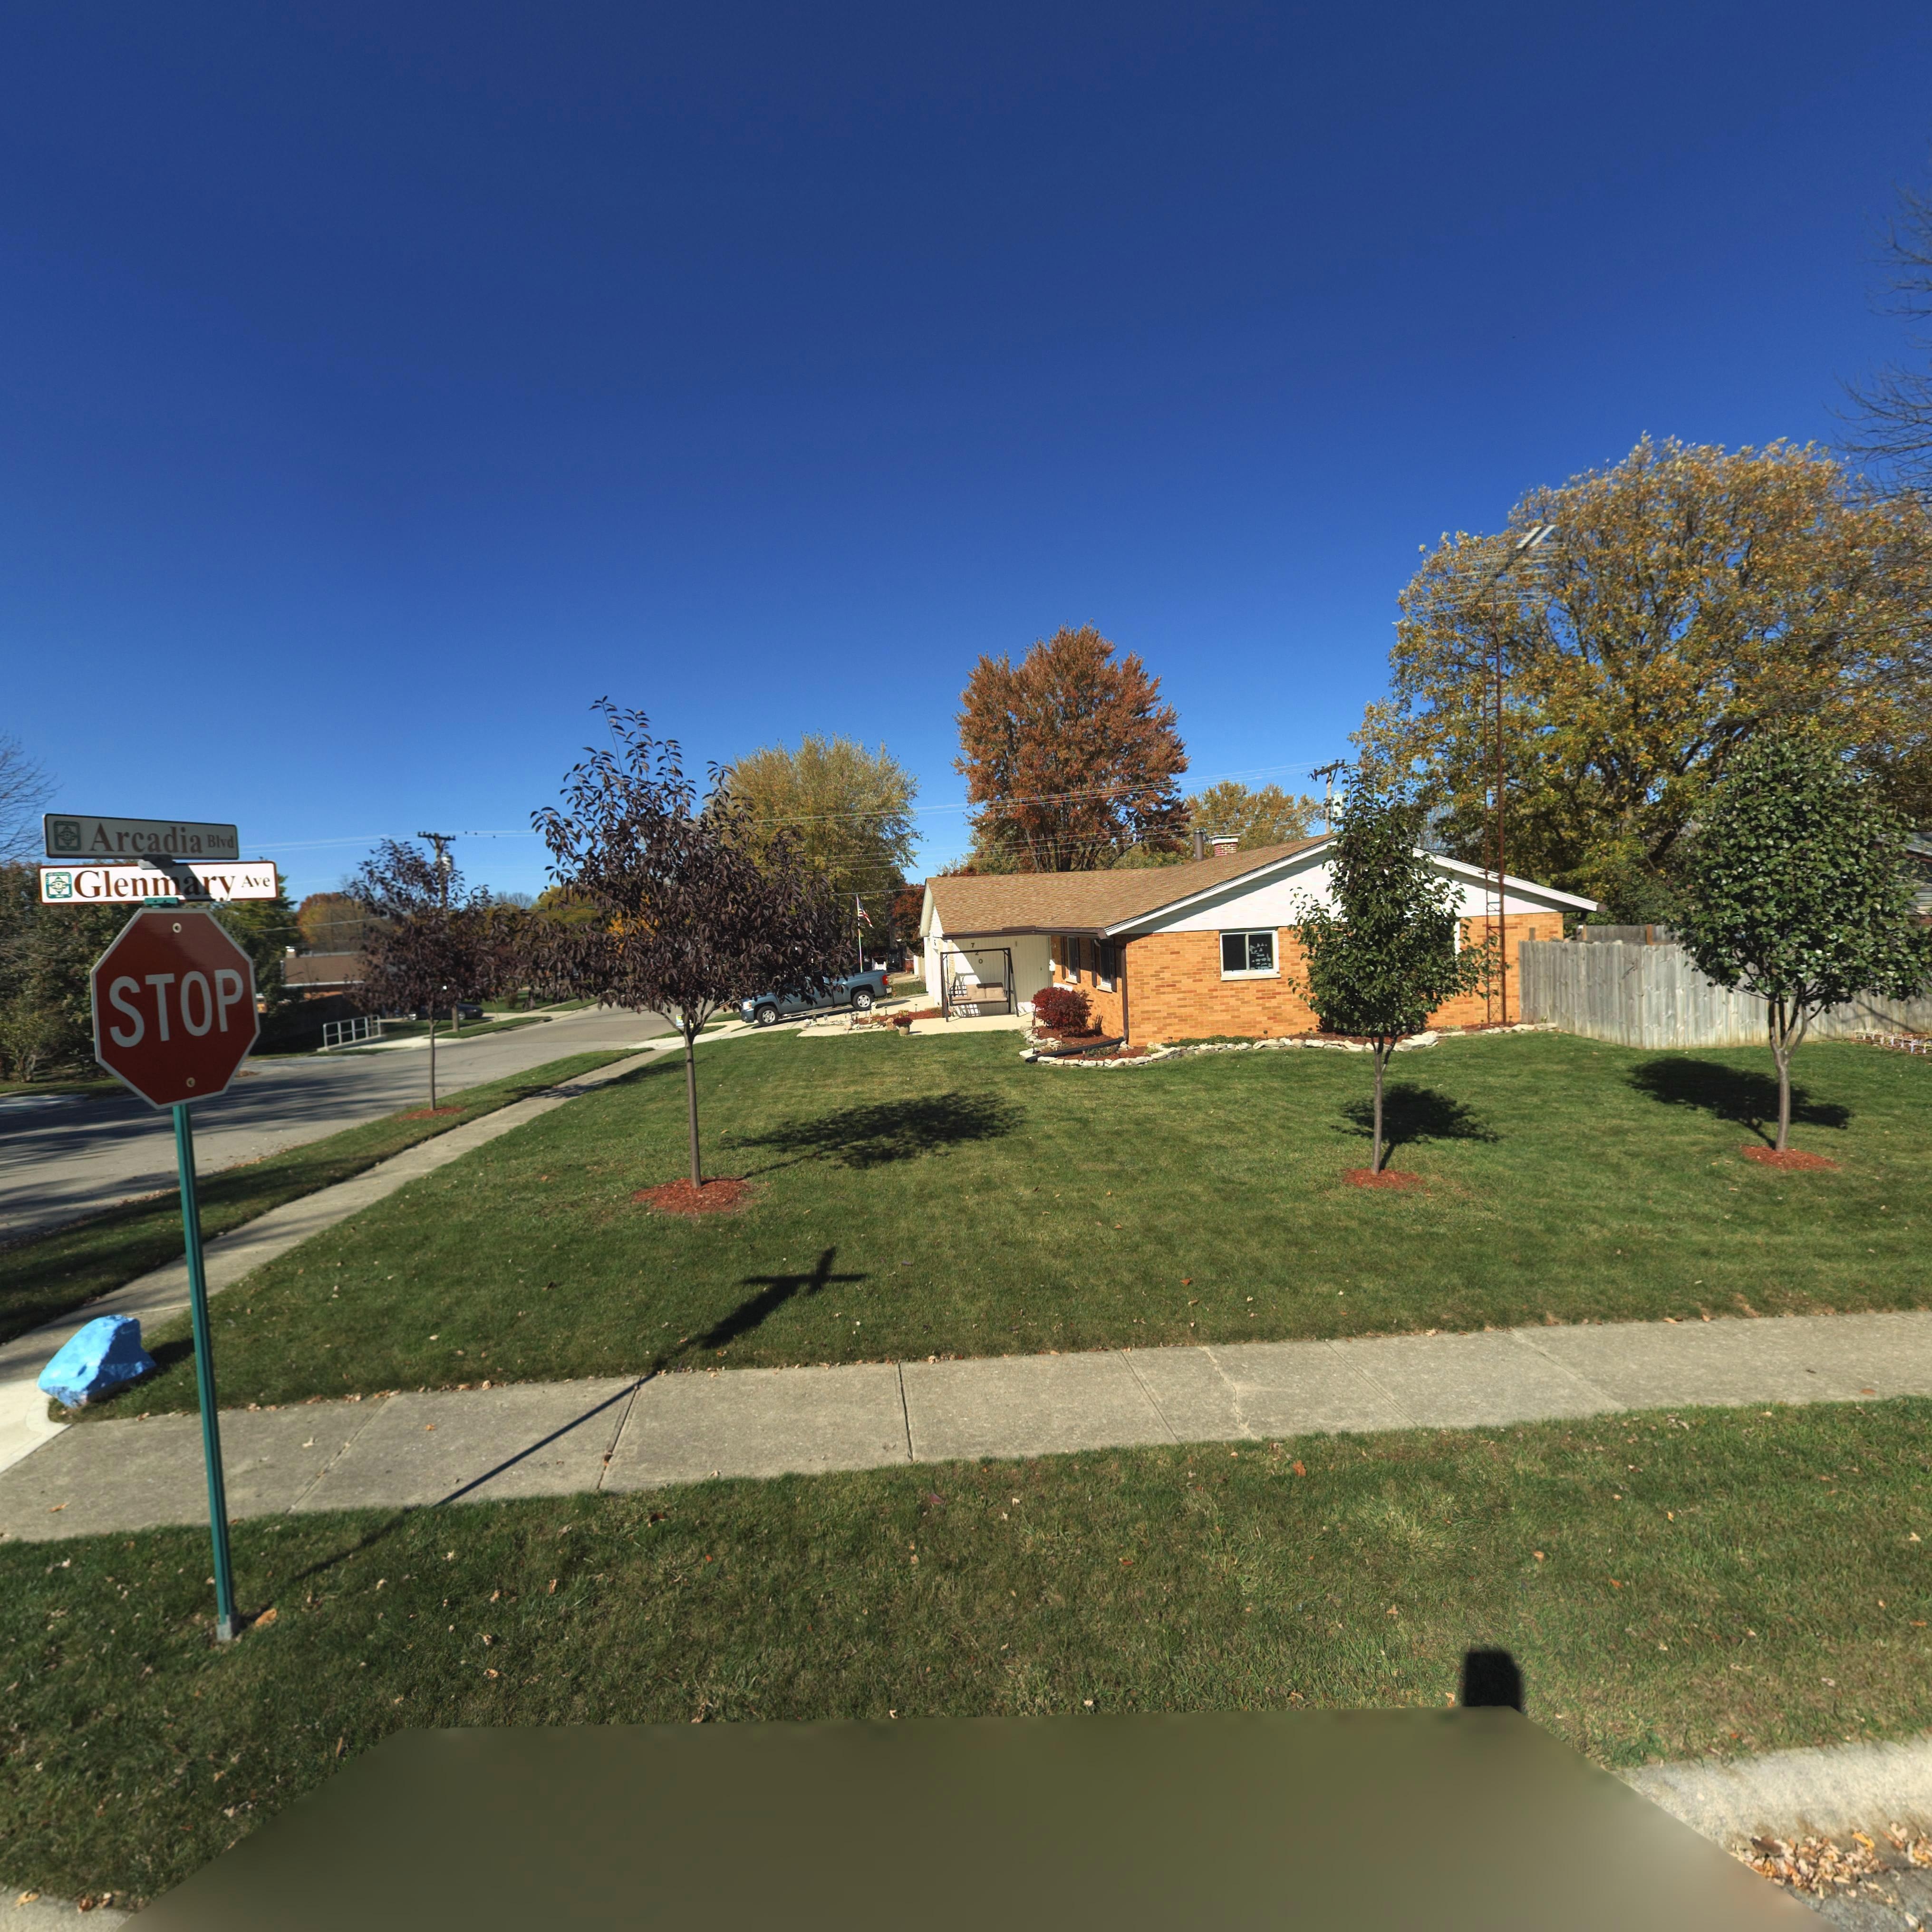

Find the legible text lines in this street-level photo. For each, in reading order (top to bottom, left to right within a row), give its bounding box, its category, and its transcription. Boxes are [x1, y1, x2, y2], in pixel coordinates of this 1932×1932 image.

[87, 820, 236, 855] StreetName: Arcadia Blvd
[73, 869, 271, 904] StreetName: Glenmary Ave
[970, 942, 984, 965] StreetNumber: 7*0
[107, 967, 245, 1050] None: STOP